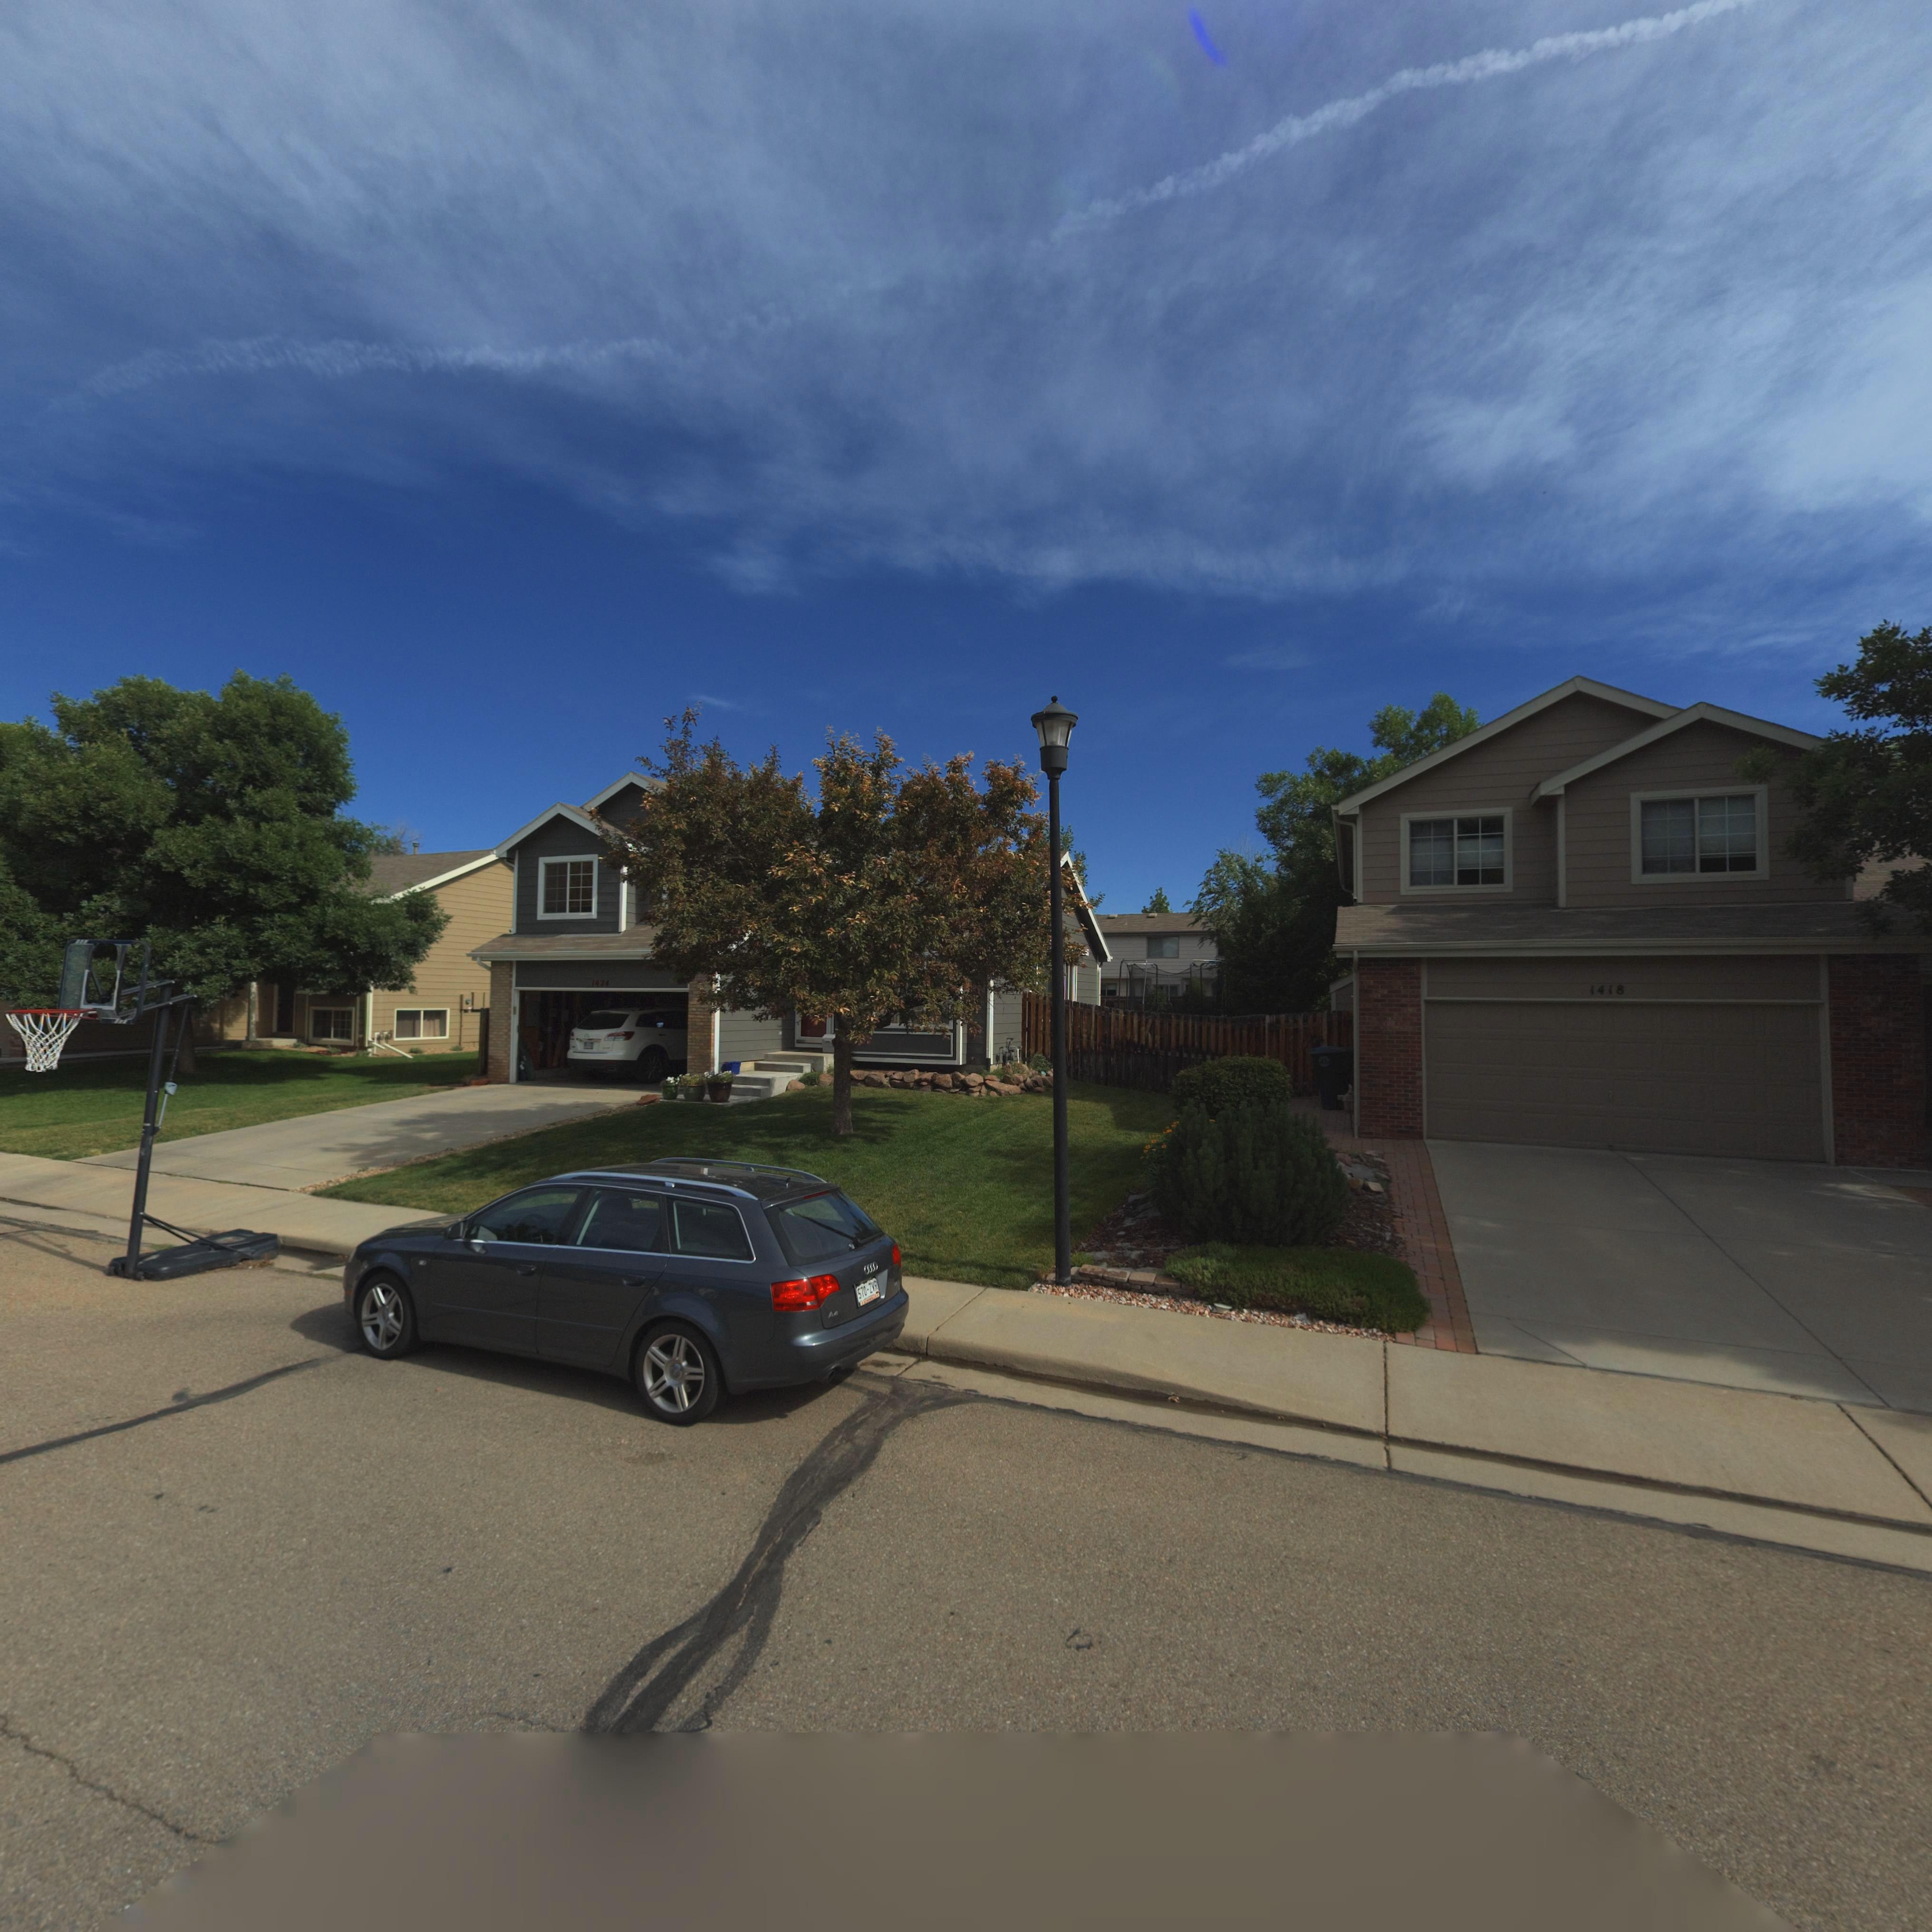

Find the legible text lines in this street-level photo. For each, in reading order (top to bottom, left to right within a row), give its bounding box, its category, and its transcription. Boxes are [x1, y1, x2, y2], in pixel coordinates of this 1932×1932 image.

[591, 979, 609, 987] StreetNumber: 1424
[1590, 983, 1625, 996] StreetNumber: 1418